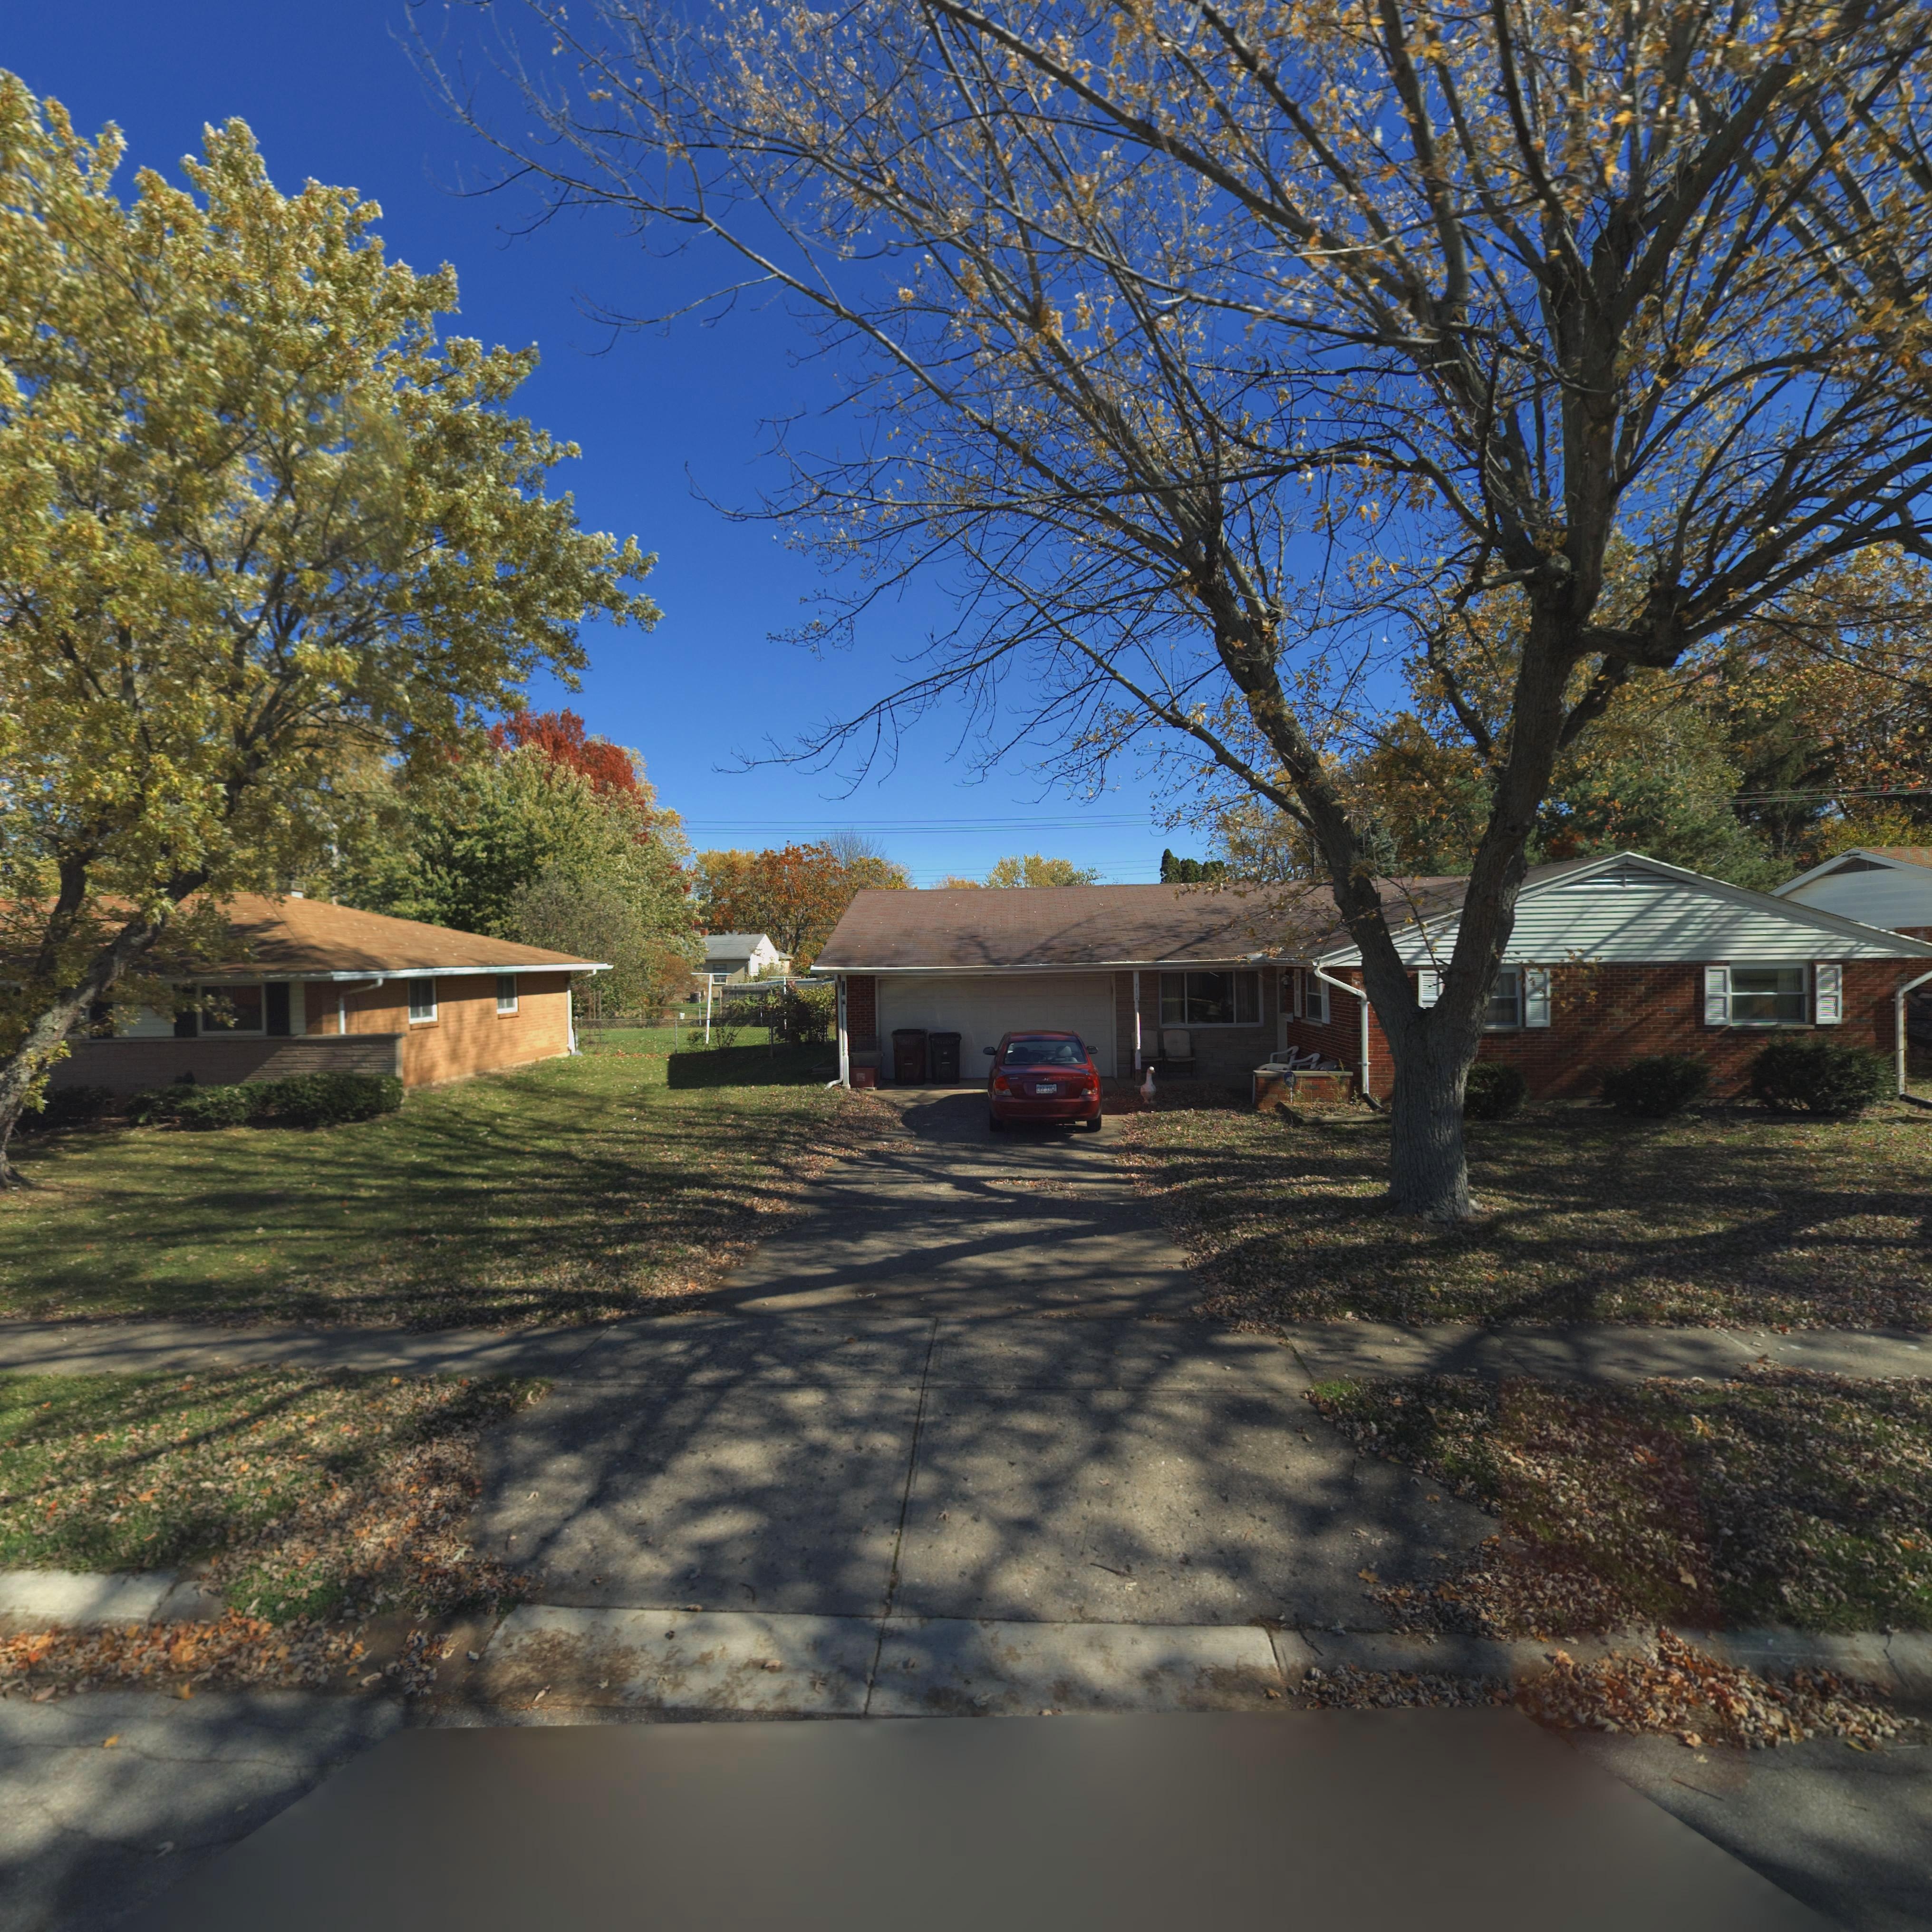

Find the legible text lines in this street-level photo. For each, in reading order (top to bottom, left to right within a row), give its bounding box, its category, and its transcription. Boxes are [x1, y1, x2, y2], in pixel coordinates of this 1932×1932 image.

[1133, 982, 1140, 1001] StreetNumber: *10
[1036, 1086, 1056, 1093] None: C*Z*3352